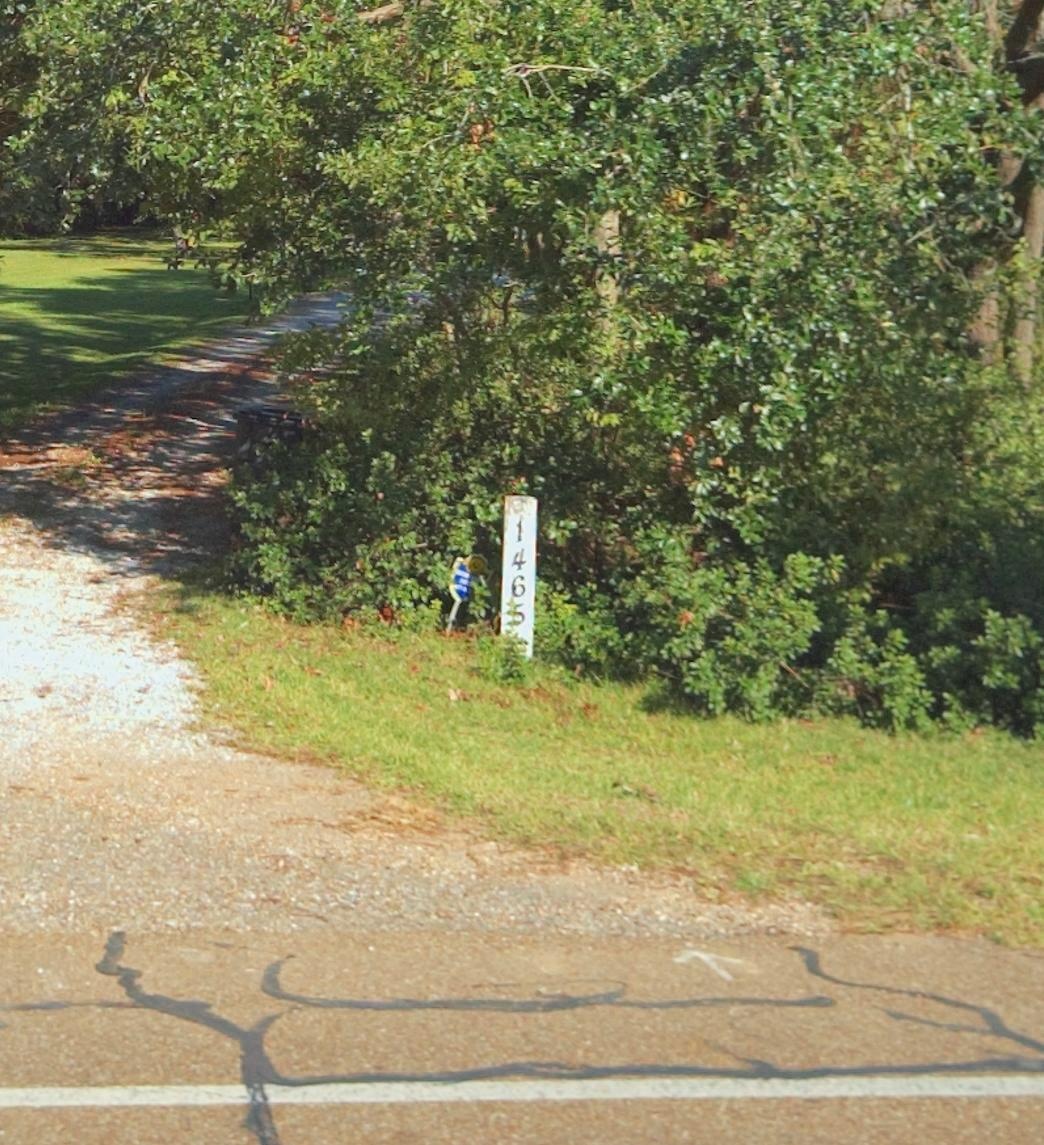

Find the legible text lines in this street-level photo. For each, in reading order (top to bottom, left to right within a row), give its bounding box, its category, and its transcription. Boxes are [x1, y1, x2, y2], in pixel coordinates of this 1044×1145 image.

[506, 515, 529, 627] StreetNumber: 146*